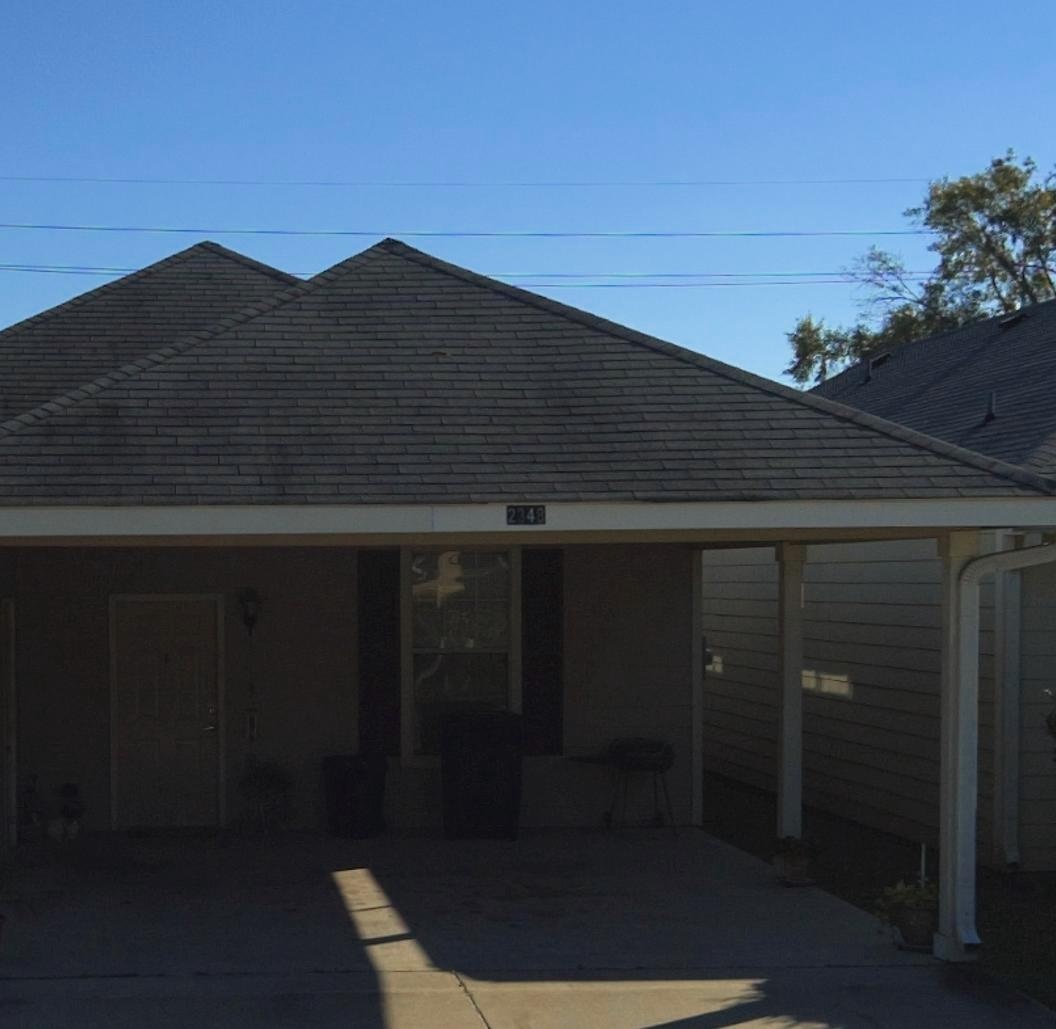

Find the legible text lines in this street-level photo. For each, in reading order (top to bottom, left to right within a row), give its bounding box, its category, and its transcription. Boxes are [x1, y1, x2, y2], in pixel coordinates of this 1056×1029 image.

[508, 506, 545, 524] StreetNumber: 2348